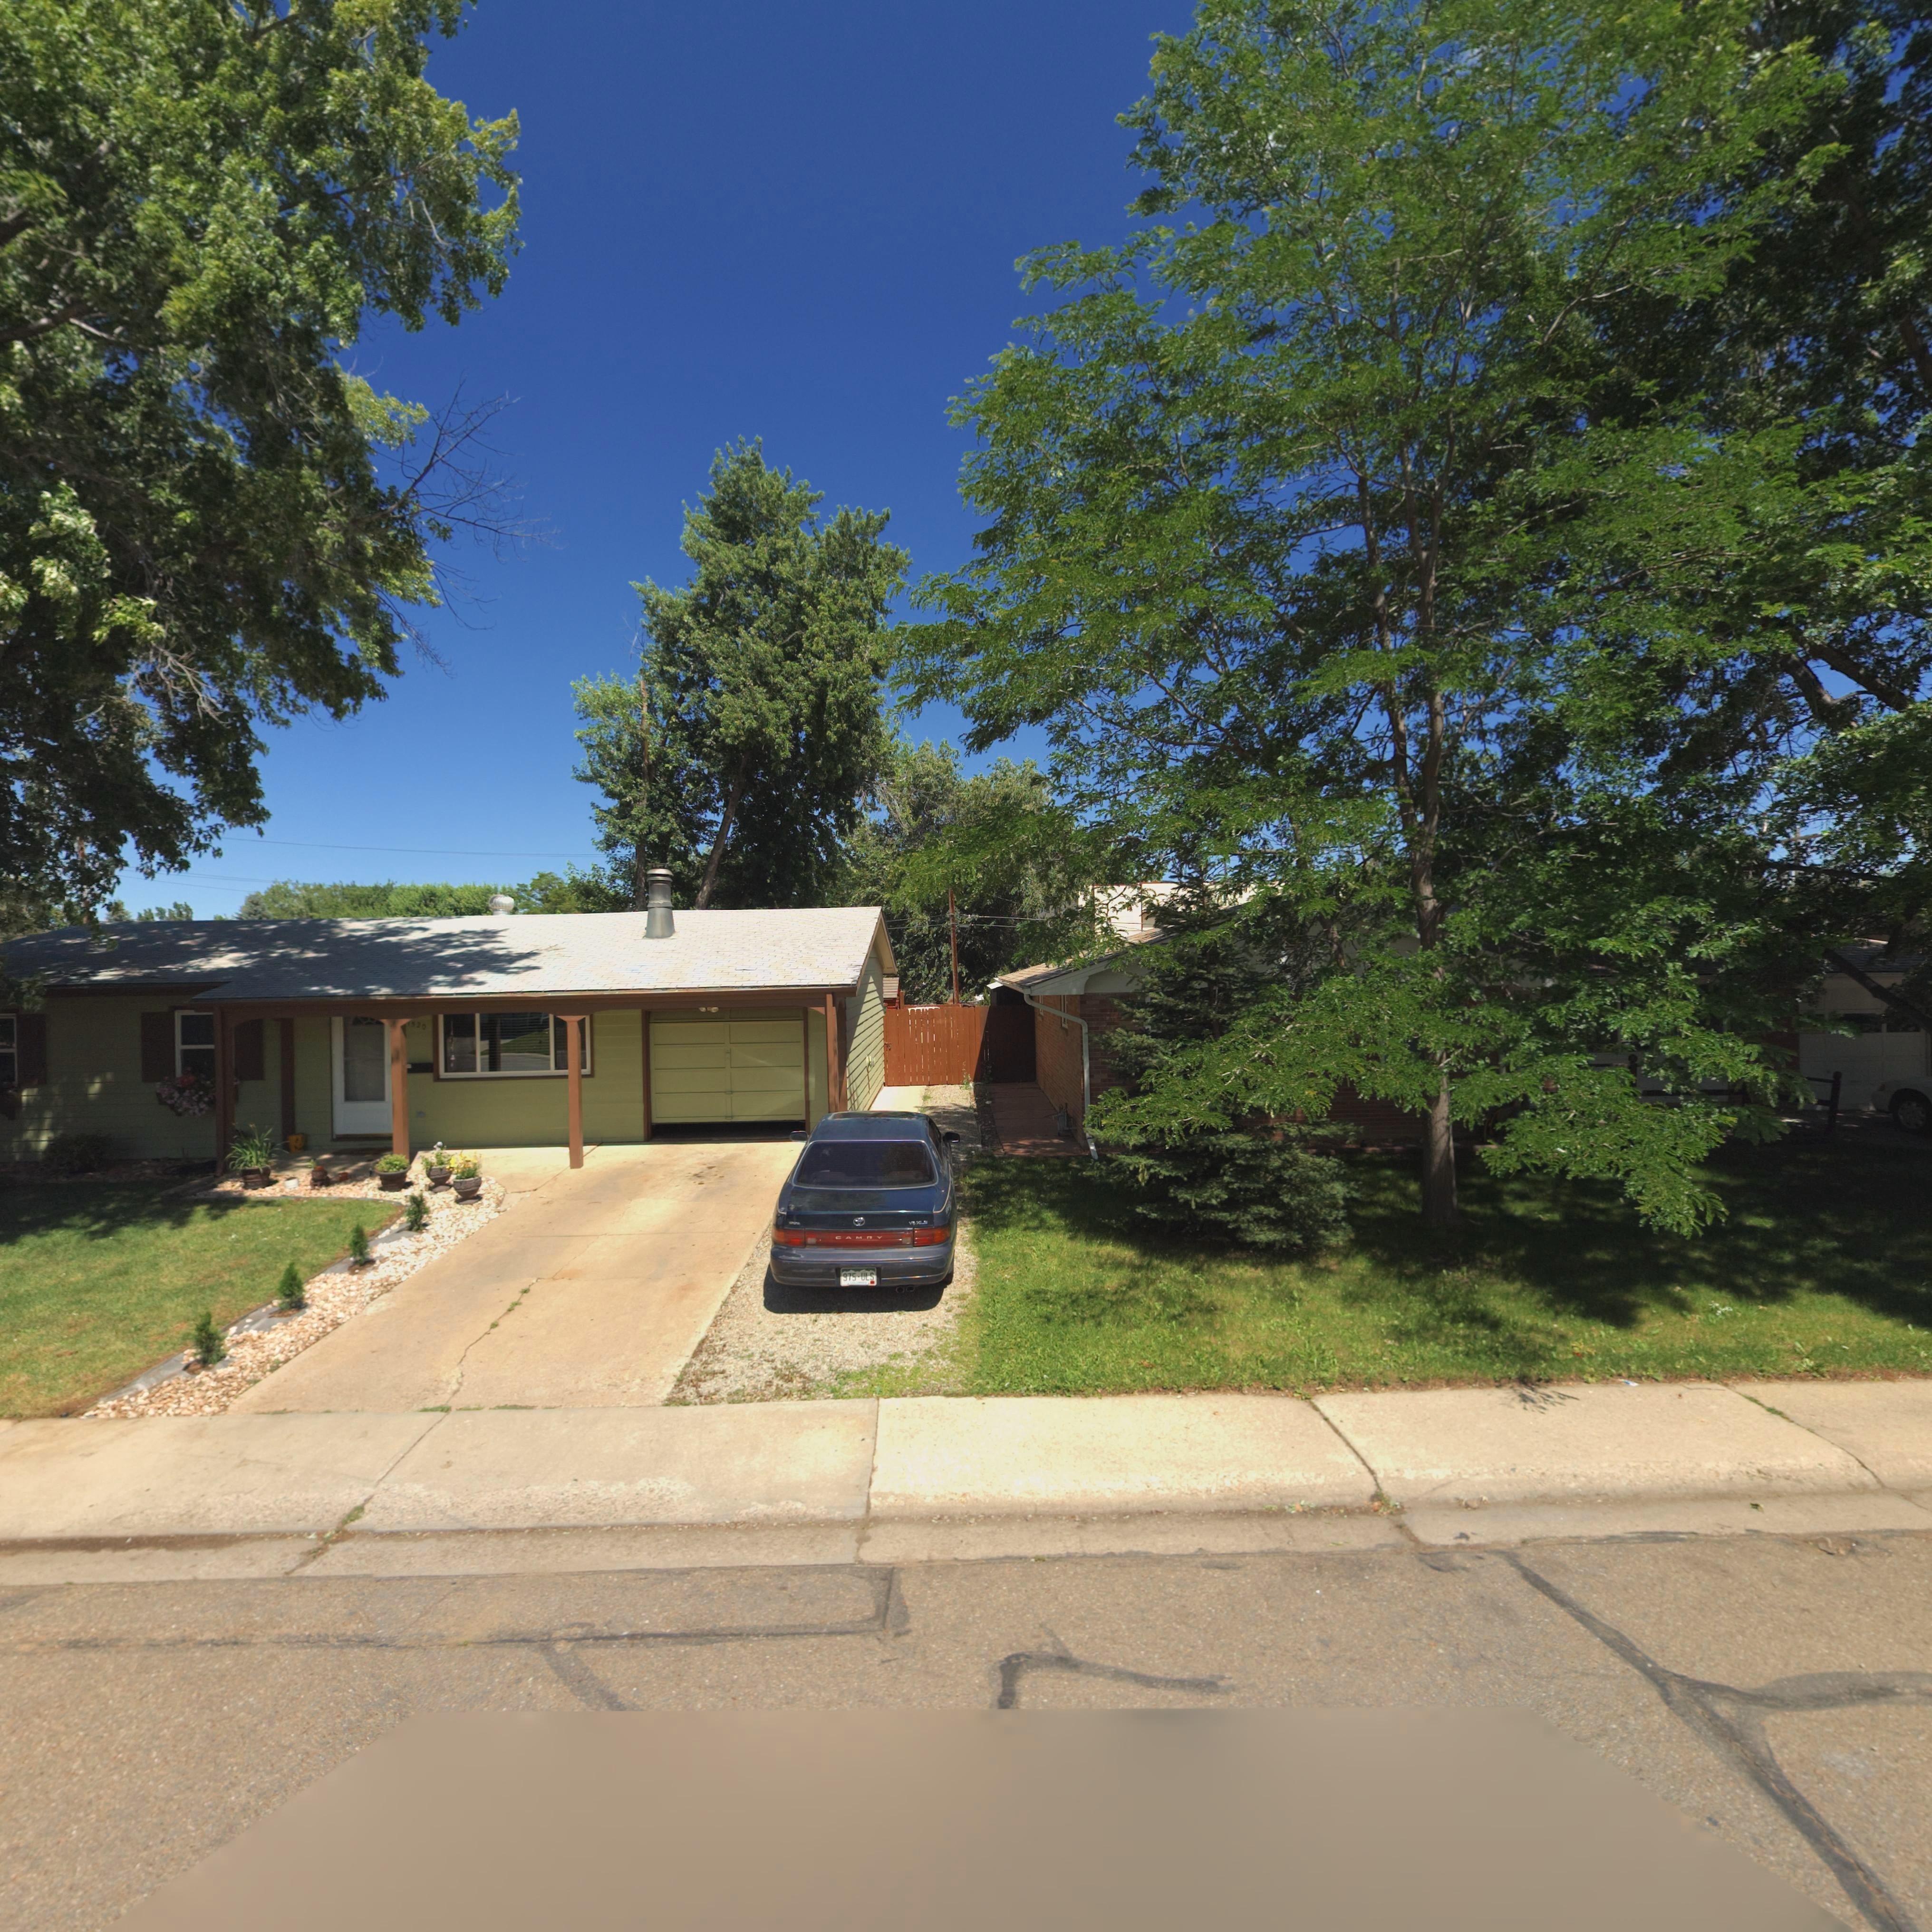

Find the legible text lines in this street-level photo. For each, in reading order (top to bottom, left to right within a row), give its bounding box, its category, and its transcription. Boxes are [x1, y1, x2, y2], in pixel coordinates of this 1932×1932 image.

[407, 1021, 427, 1031] StreetNumber: *530